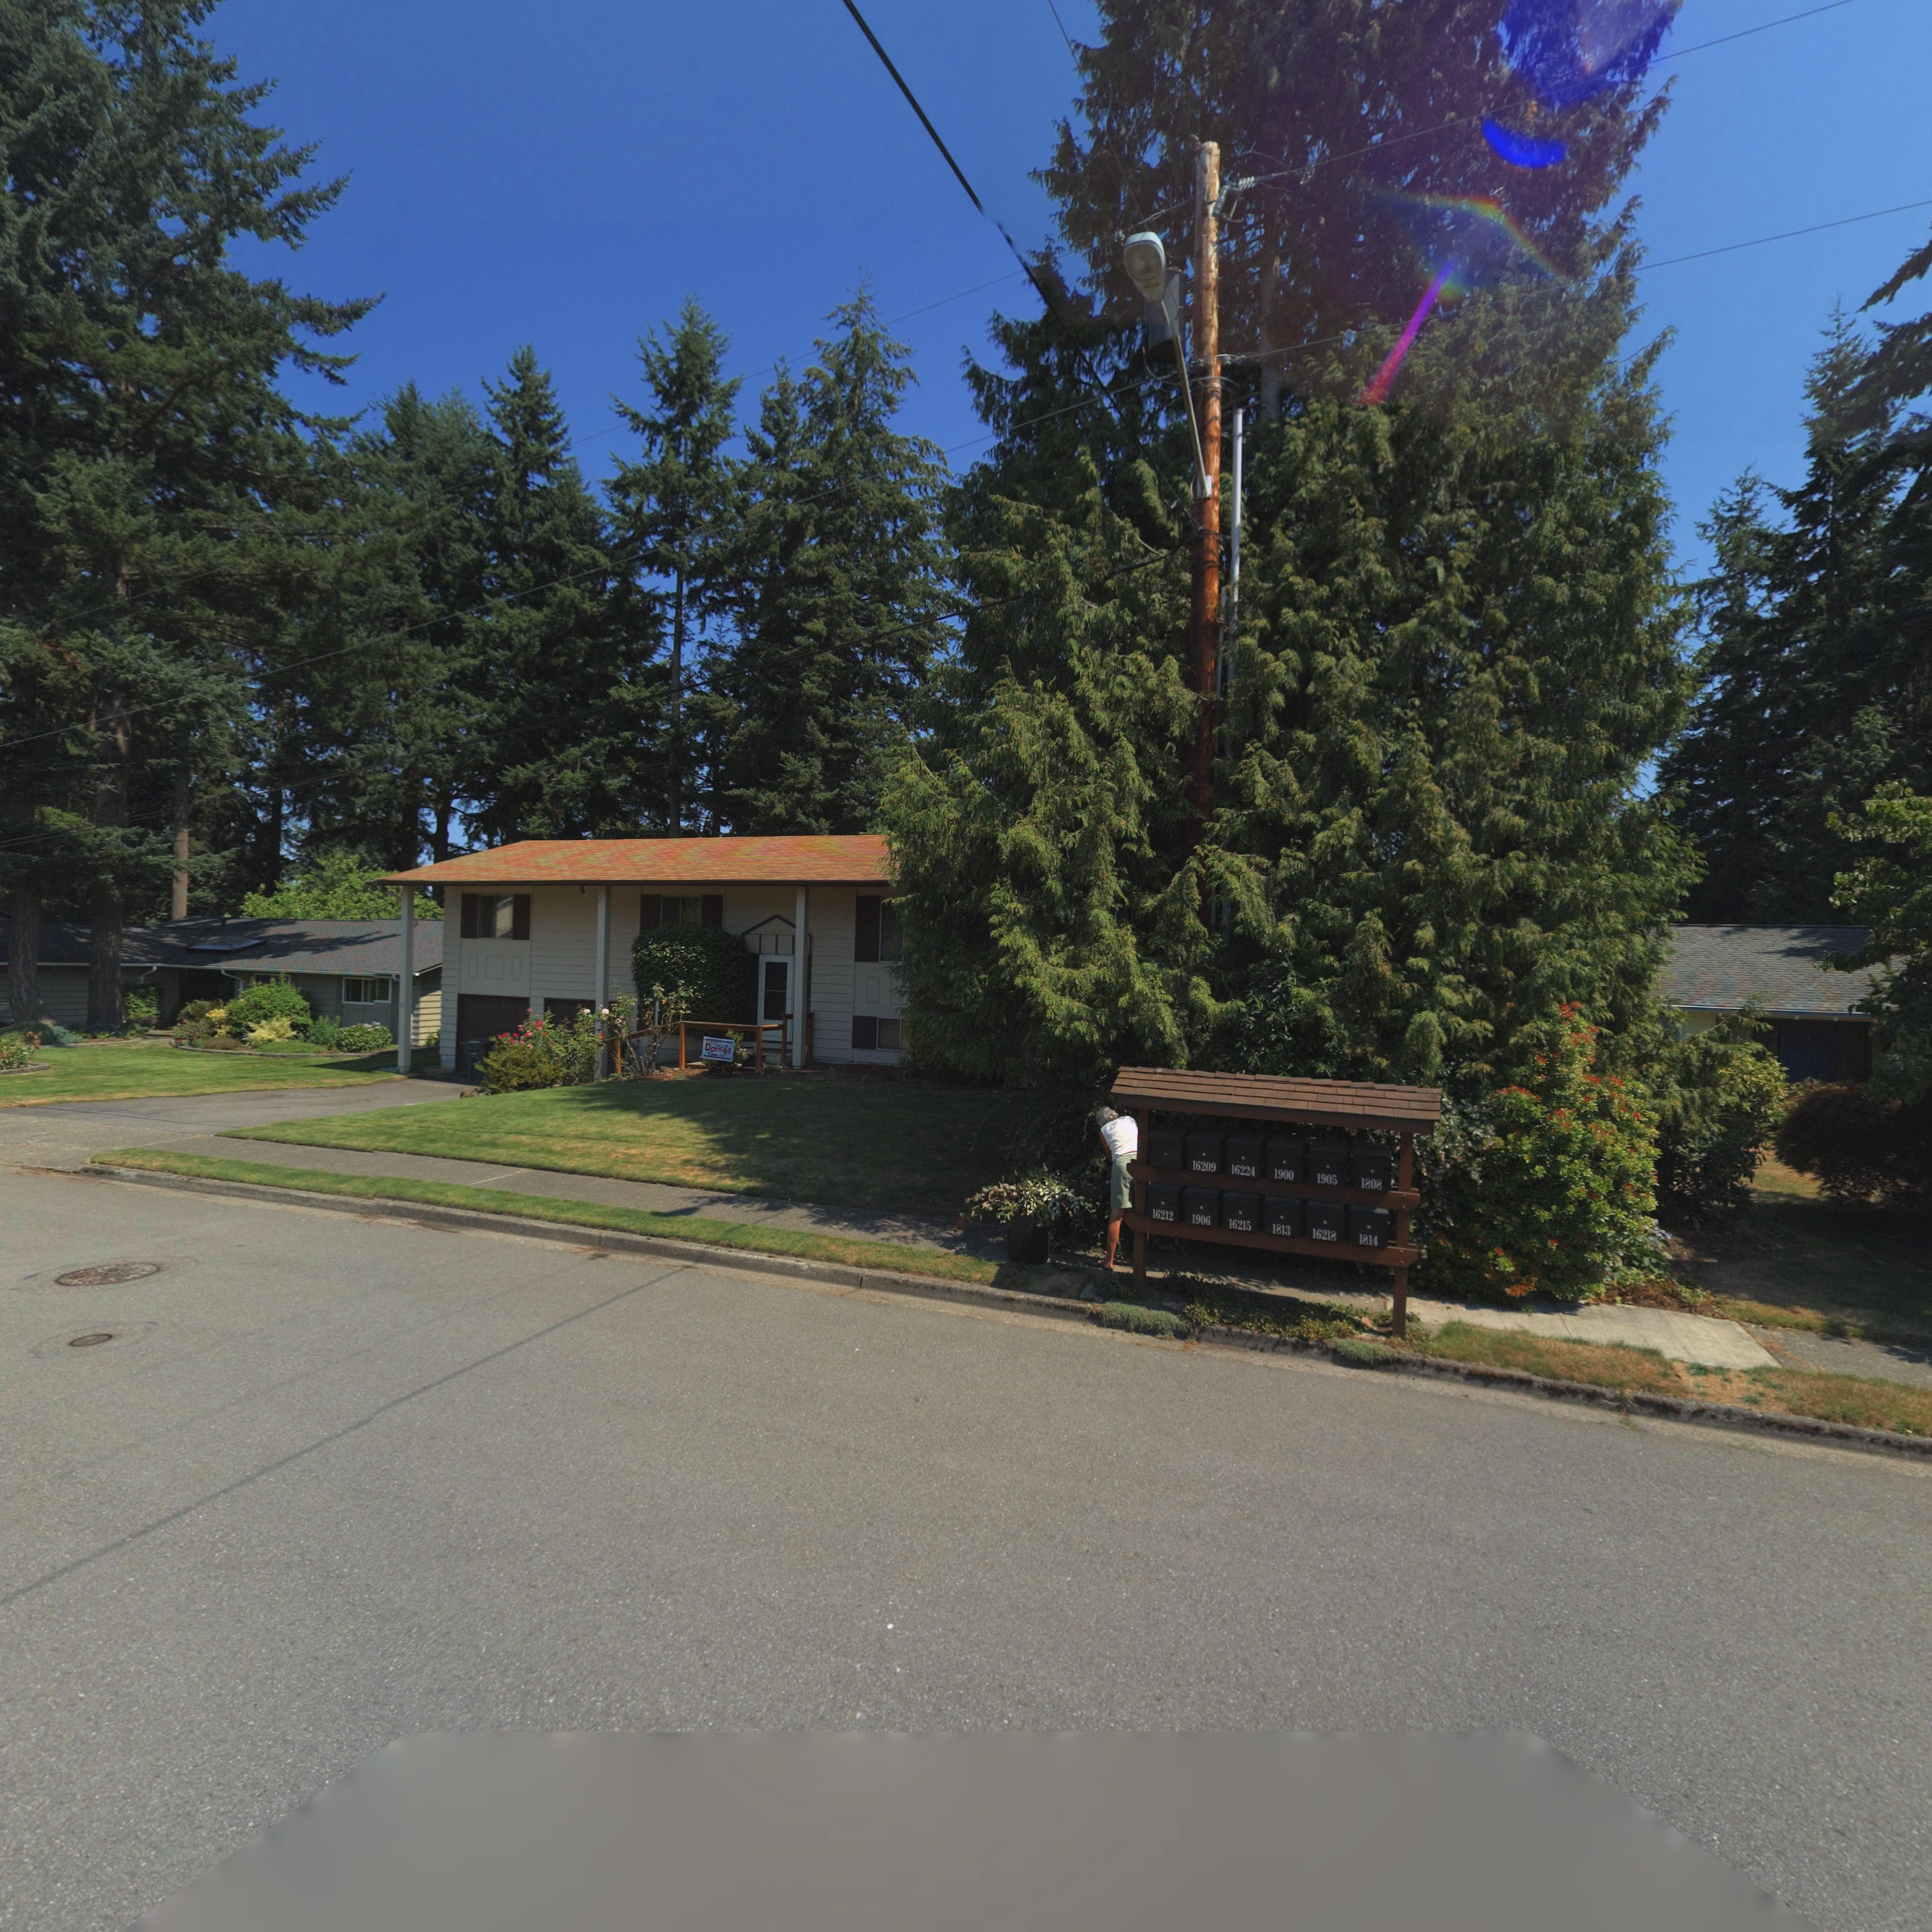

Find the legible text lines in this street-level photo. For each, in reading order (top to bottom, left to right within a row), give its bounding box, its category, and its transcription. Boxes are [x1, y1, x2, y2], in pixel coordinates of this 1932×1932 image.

[1191, 1159, 1217, 1175] StreetNumber: 16209
[1229, 1163, 1256, 1179] StreetNumber: 16224
[1273, 1167, 1294, 1182] StreetNumber: 1900
[1316, 1172, 1338, 1187] StreetNumber: 1905
[1361, 1177, 1382, 1190] StreetNumber: 1808
[1151, 1207, 1174, 1223] StreetNumber: 16212
[1190, 1212, 1214, 1227] StreetNumber: 1906
[1228, 1217, 1253, 1233] StreetNumber: 16215
[1271, 1222, 1293, 1237] StreetNumber: 1813
[1311, 1227, 1339, 1243] StreetNumber: 16218
[1359, 1232, 1378, 1247] StreetNumber: 1814